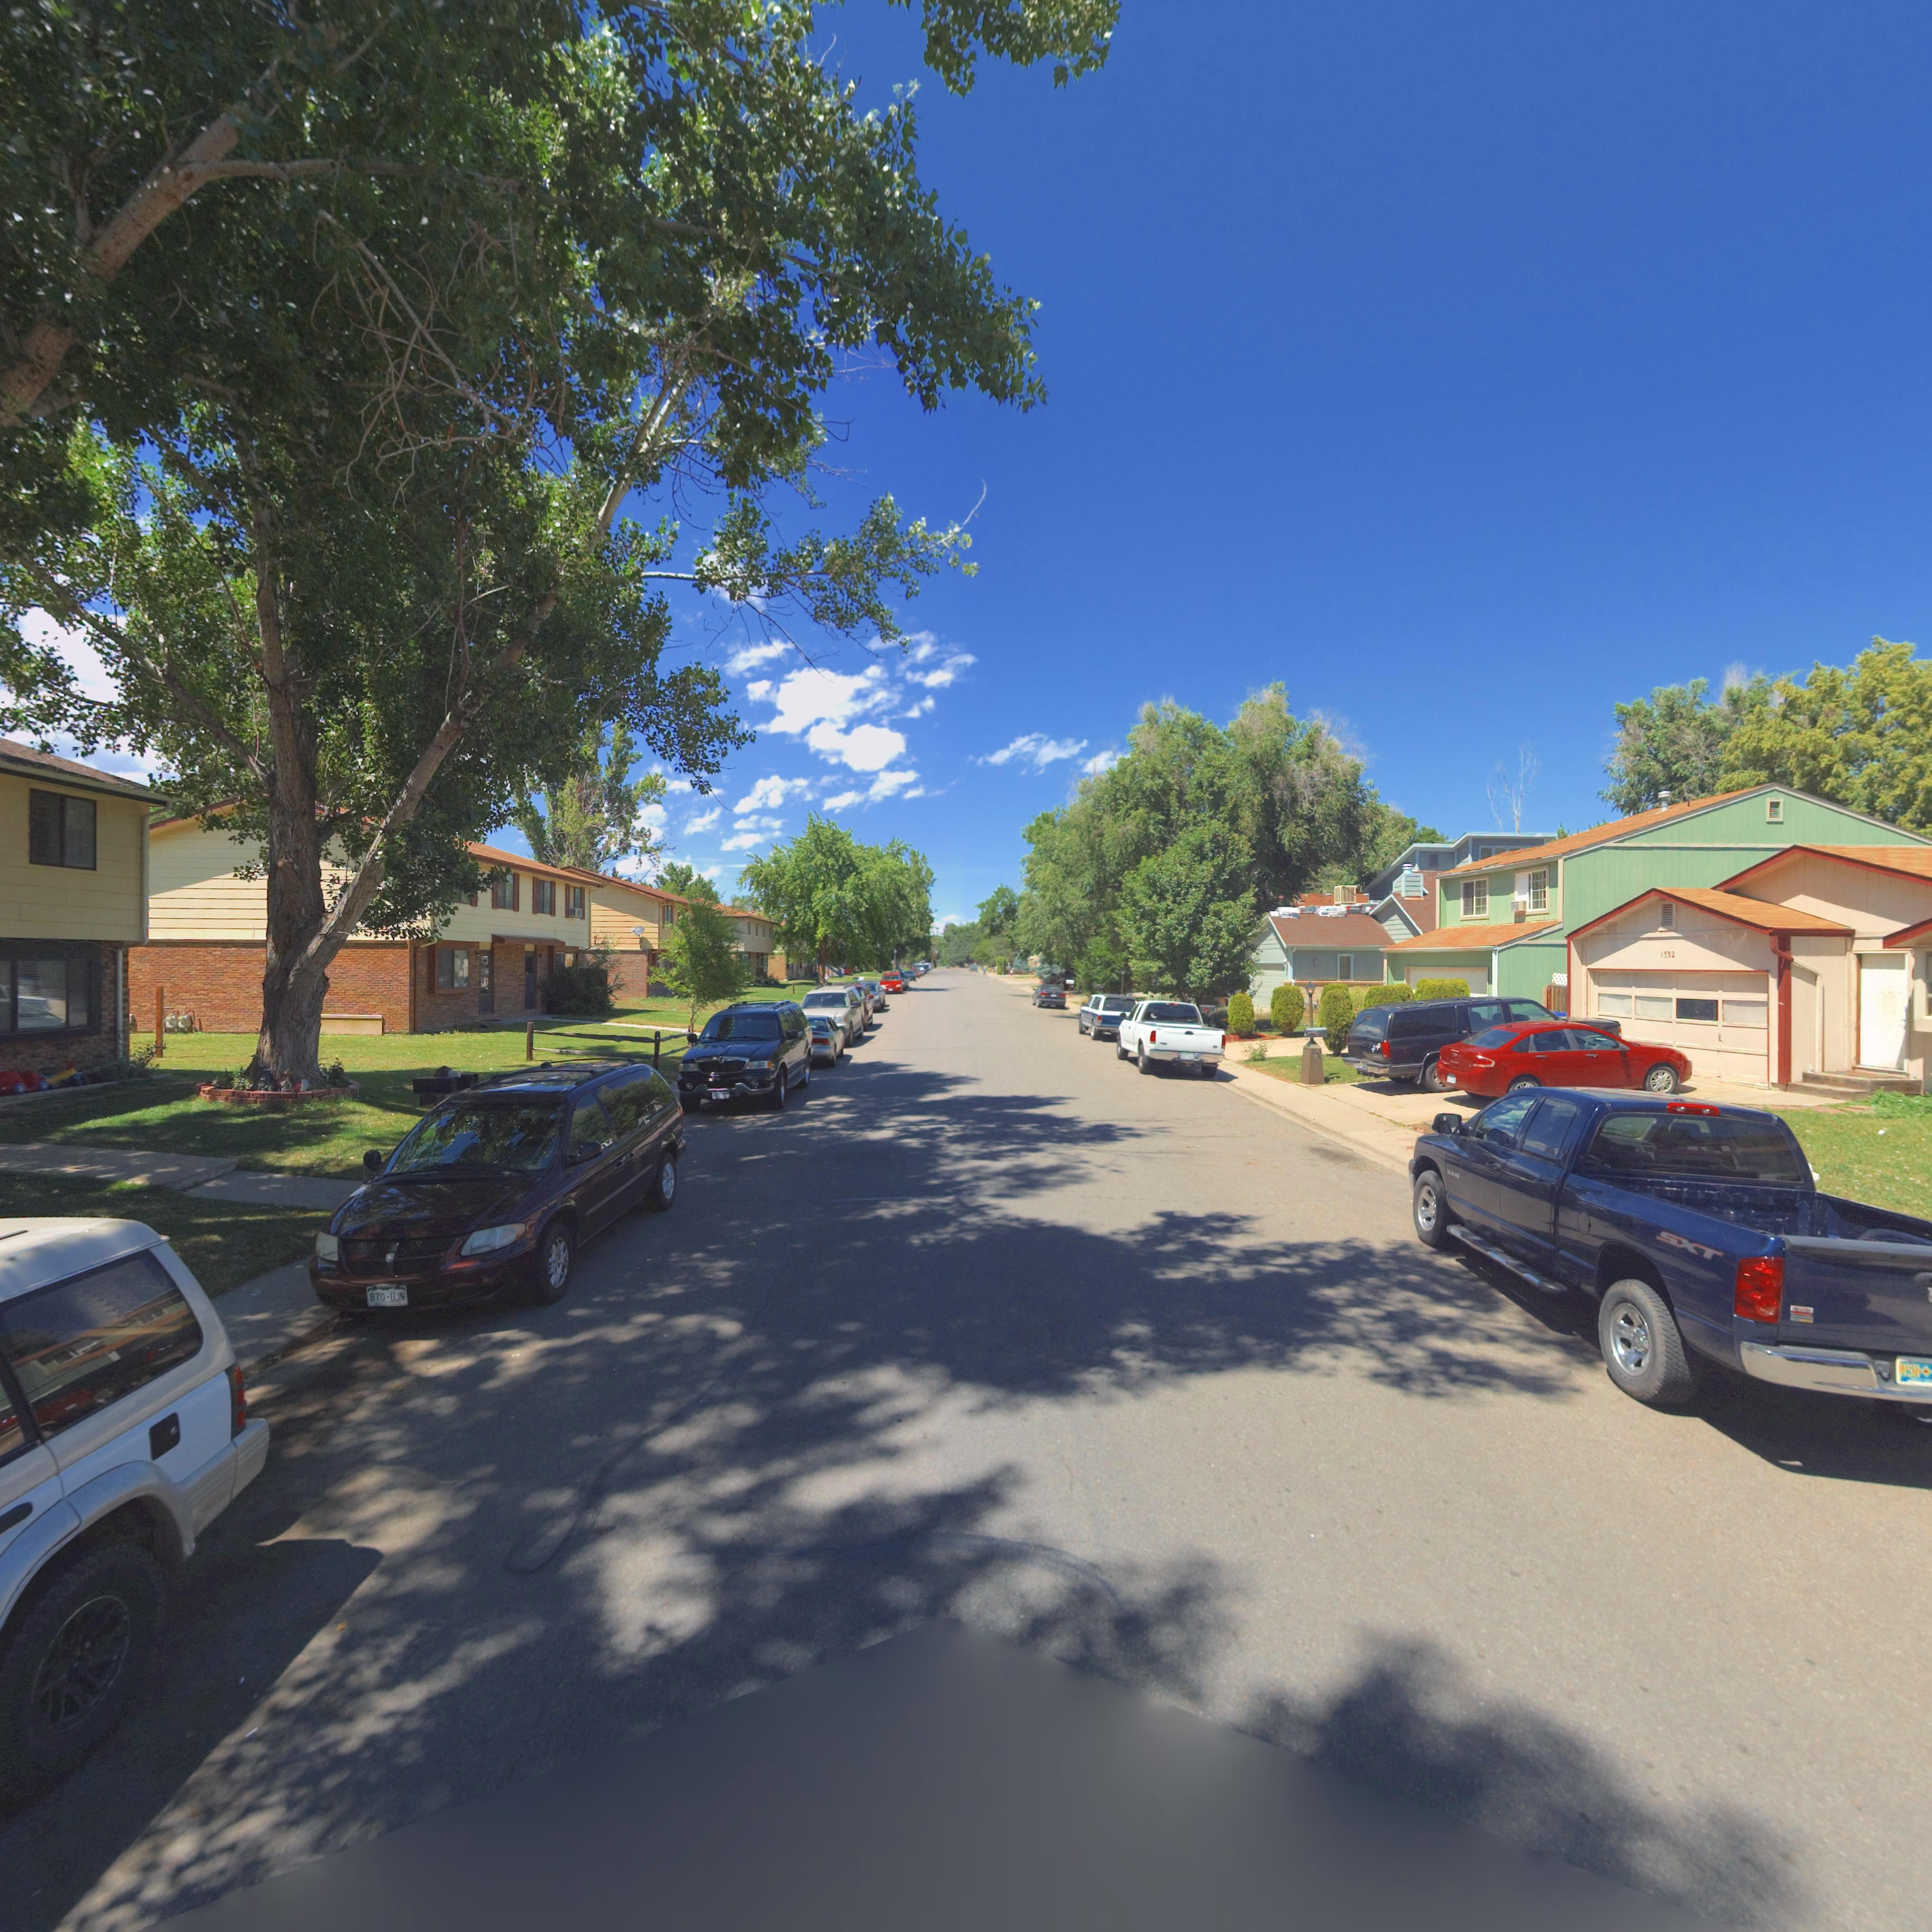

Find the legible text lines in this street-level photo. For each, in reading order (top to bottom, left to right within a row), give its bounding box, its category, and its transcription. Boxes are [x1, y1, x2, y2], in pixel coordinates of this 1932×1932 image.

[1661, 950, 1675, 958] StreetNumber: 1332
[1383, 966, 1386, 985] StreetNumber: 1***